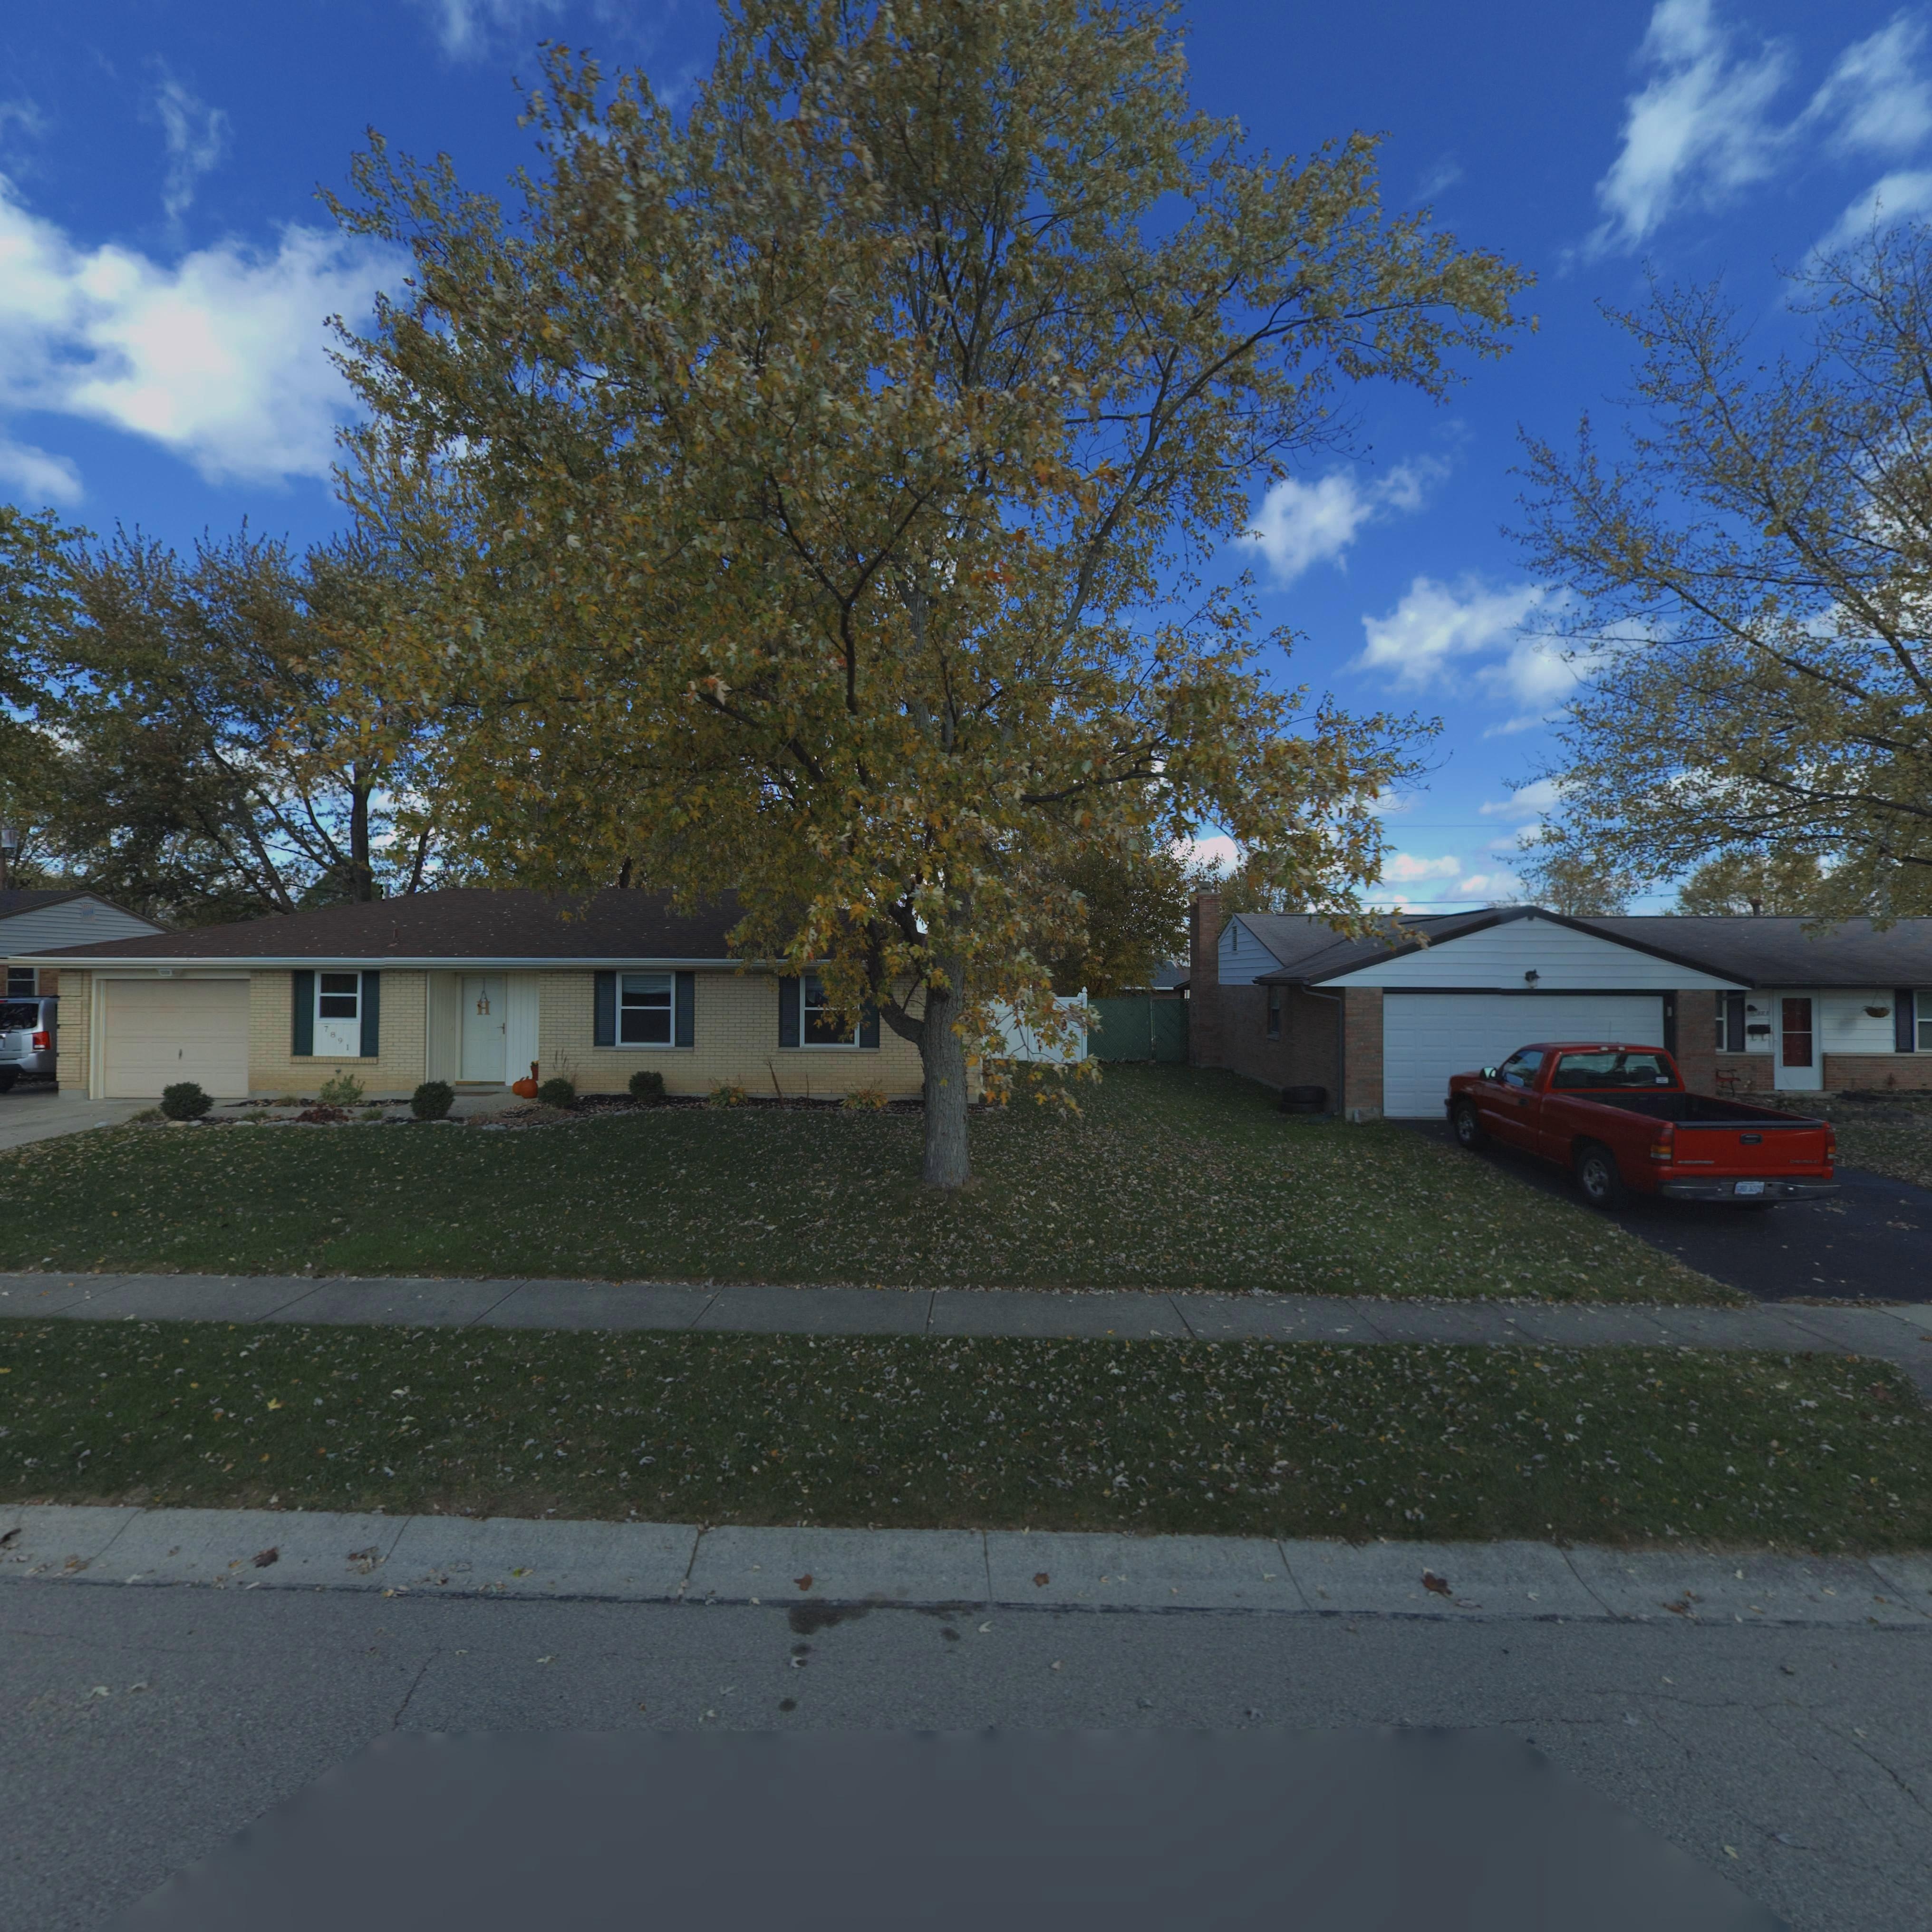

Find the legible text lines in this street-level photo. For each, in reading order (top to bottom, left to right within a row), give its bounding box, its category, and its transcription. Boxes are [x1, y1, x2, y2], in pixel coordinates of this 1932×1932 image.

[1749, 1010, 1769, 1017] StreetNumber: **8*
[323, 1025, 349, 1051] StreetNumber: 7891